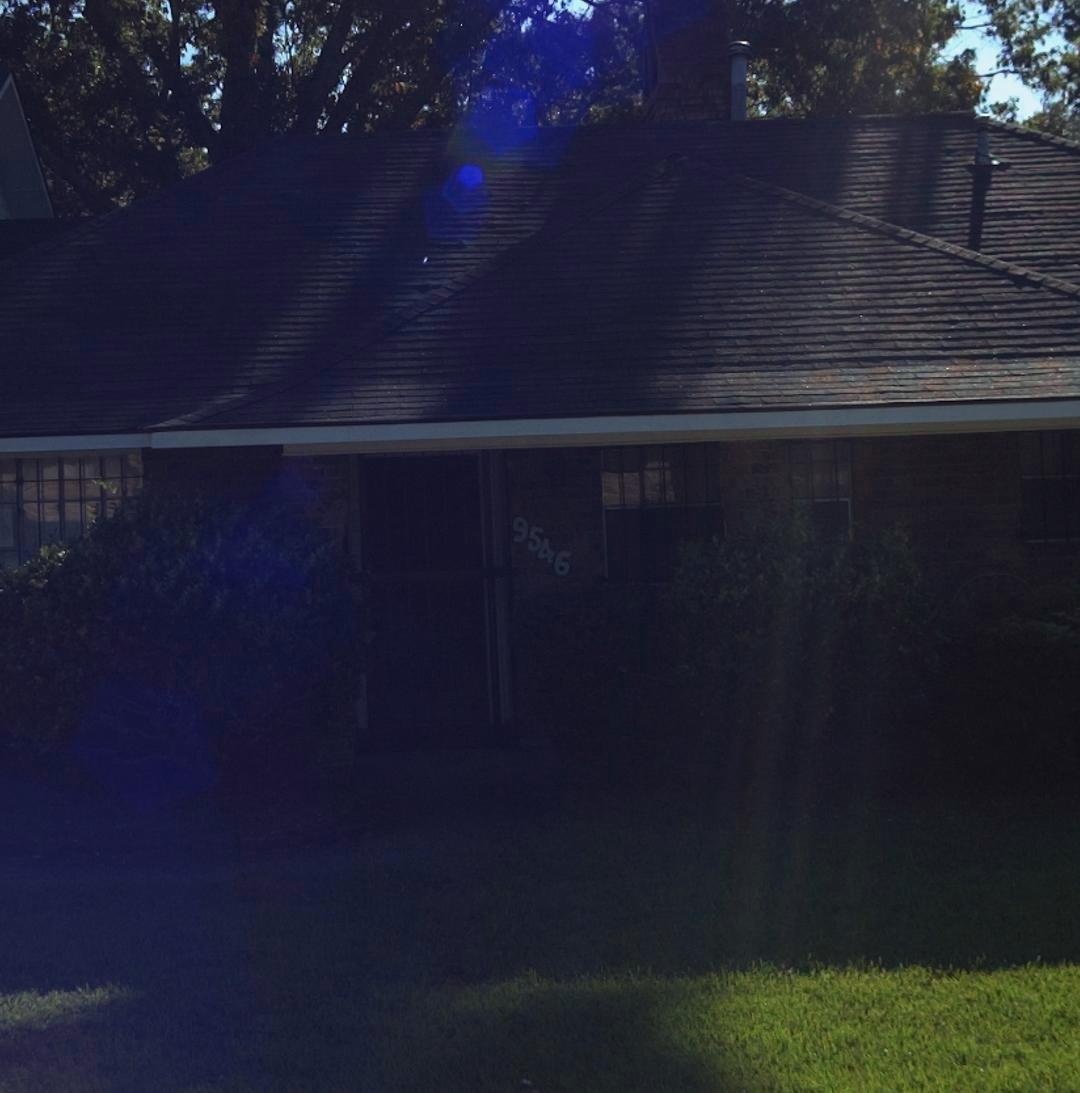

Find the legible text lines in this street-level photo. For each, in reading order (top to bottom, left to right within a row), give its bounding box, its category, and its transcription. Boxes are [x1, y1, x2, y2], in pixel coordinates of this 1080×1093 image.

[512, 516, 573, 582] StreetNumber: 9546